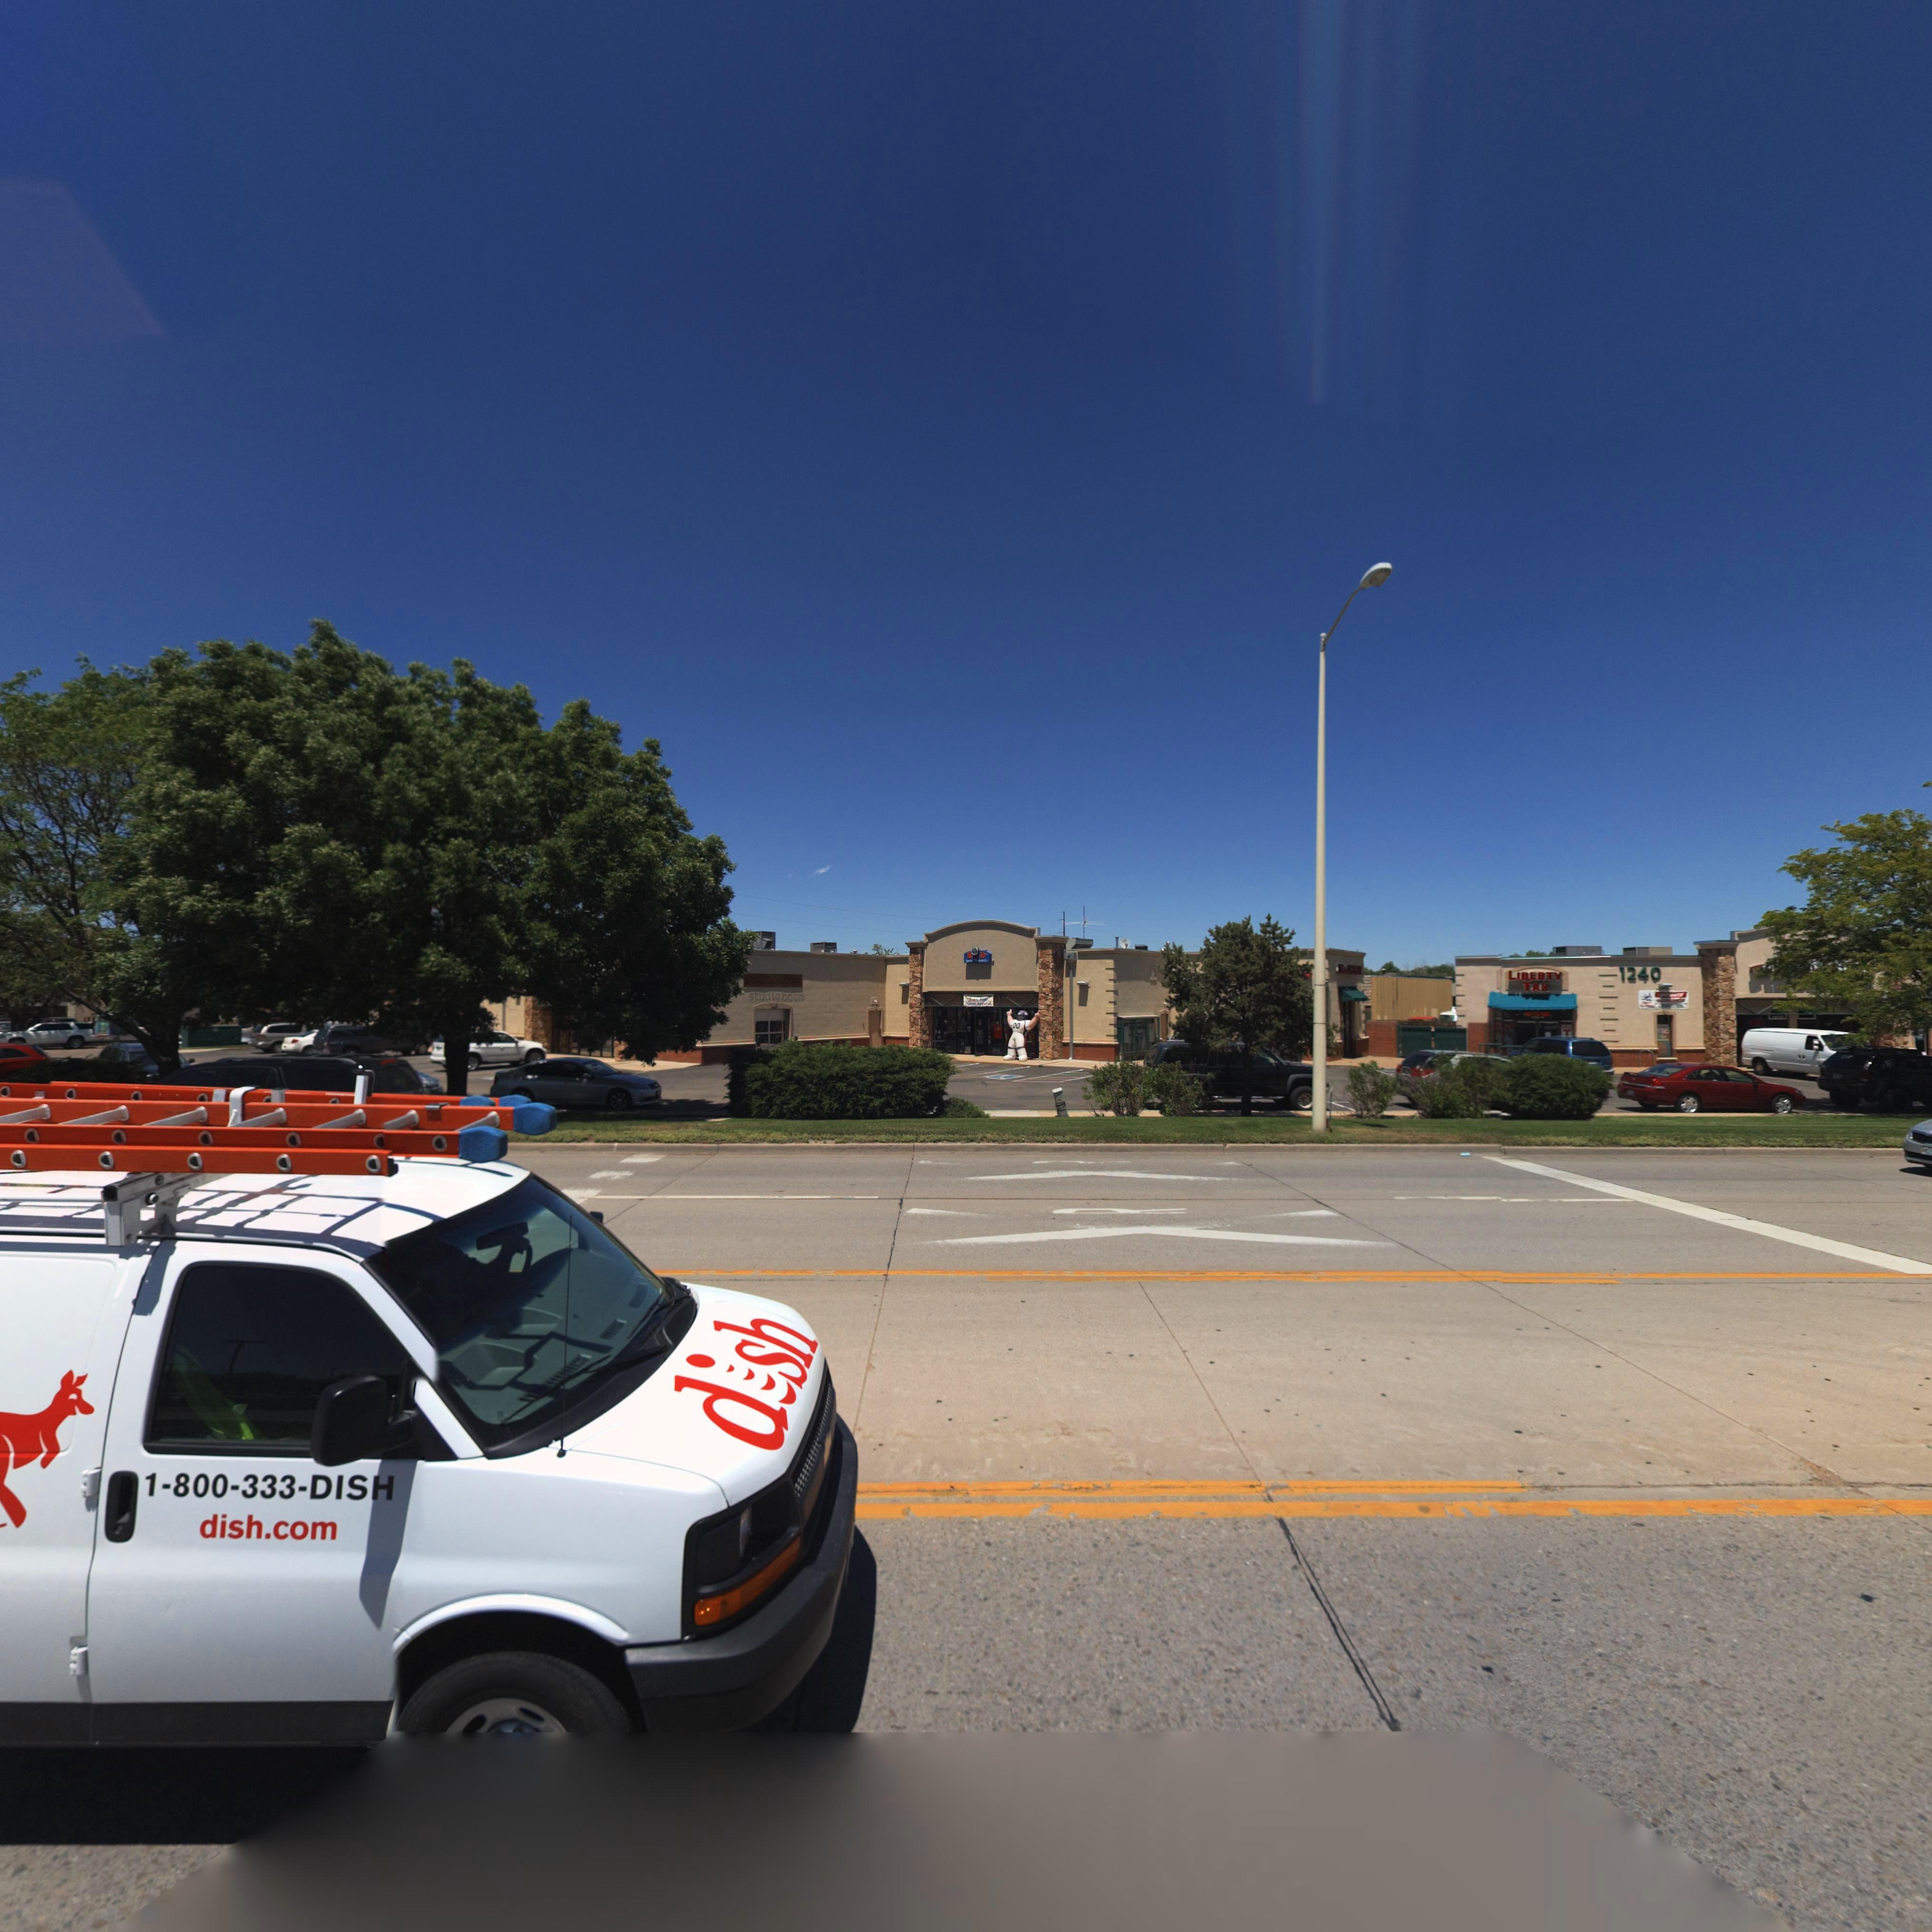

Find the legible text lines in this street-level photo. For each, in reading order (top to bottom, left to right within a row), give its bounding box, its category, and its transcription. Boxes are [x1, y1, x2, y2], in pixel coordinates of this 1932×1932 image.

[966, 952, 988, 958] BusinessName: * * D*s
[743, 974, 802, 984] BusinessName: studio boom
[1508, 970, 1562, 981] BusinessName: LIBERTY
[1619, 966, 1661, 980] StreetNumber: 1240
[1522, 981, 1549, 992] BusinessName: TAX
[749, 992, 804, 1002] BusinessName: studio boom